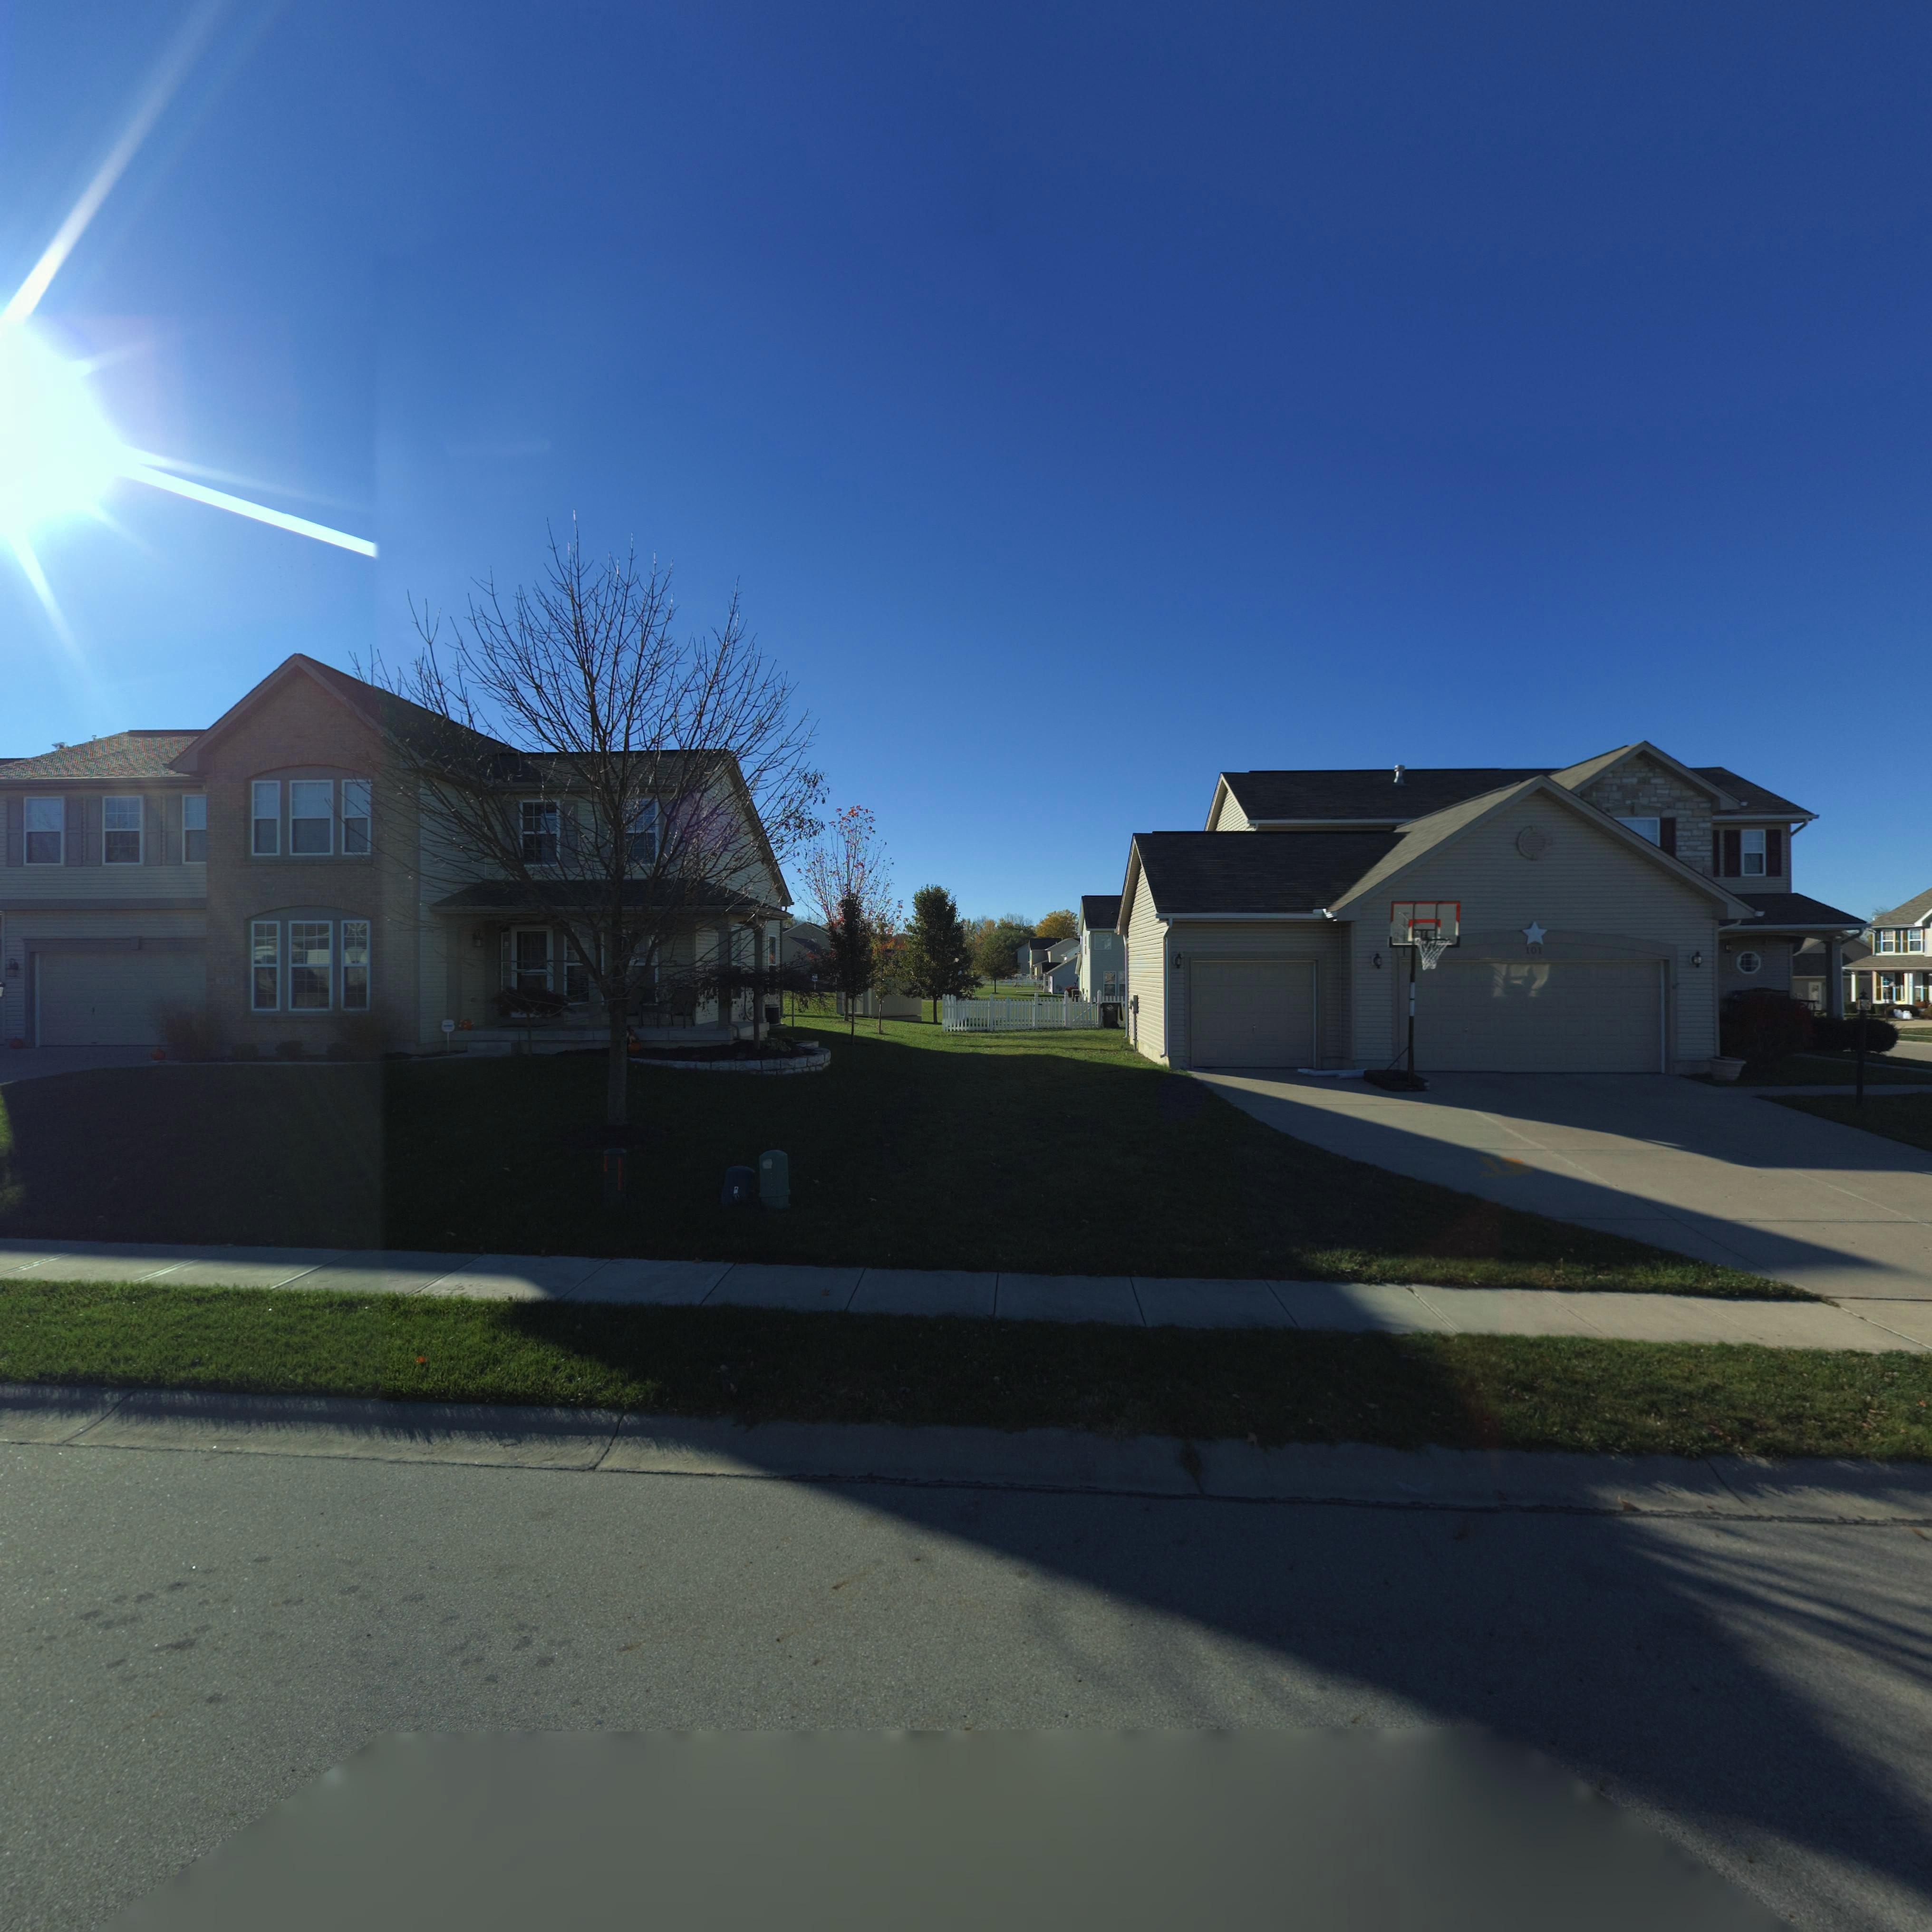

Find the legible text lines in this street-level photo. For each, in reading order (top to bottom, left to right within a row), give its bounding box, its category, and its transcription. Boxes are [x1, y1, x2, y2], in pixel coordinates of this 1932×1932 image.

[1525, 946, 1543, 956] StreetNumber: 101